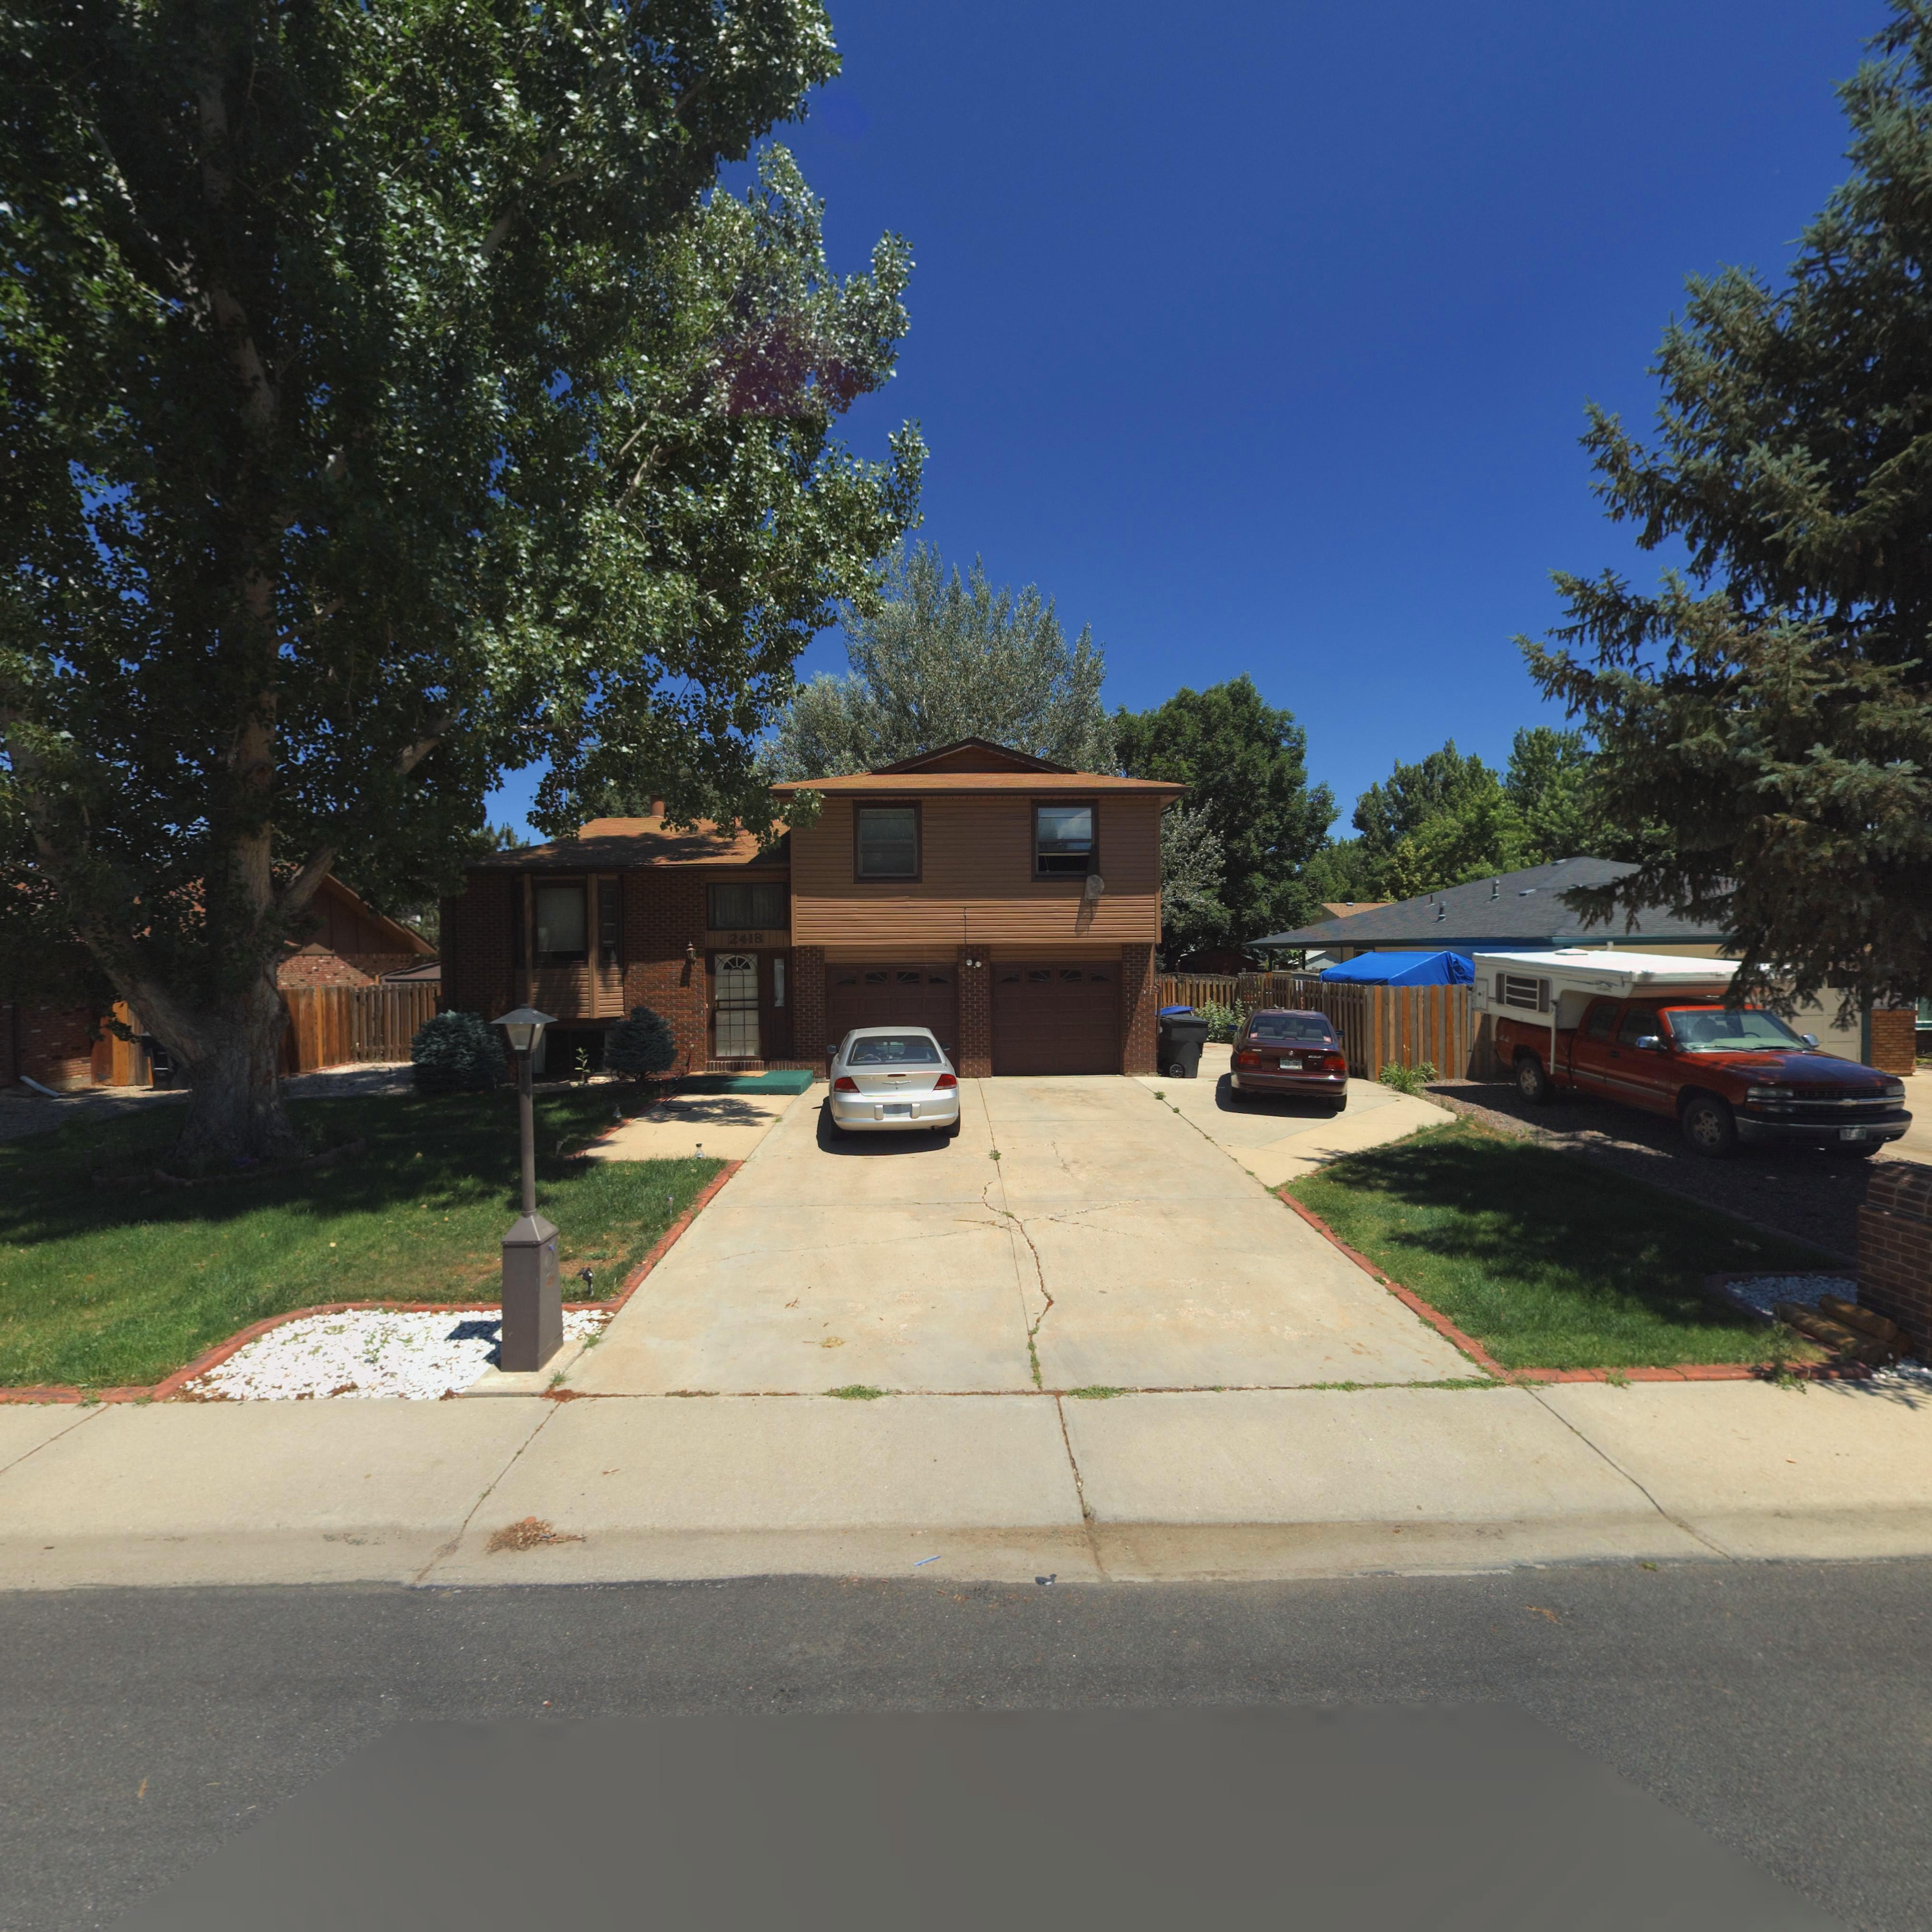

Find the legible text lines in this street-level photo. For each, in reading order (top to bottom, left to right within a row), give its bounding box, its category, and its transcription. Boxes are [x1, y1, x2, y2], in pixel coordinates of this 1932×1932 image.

[729, 932, 763, 944] StreetNumber: 2418